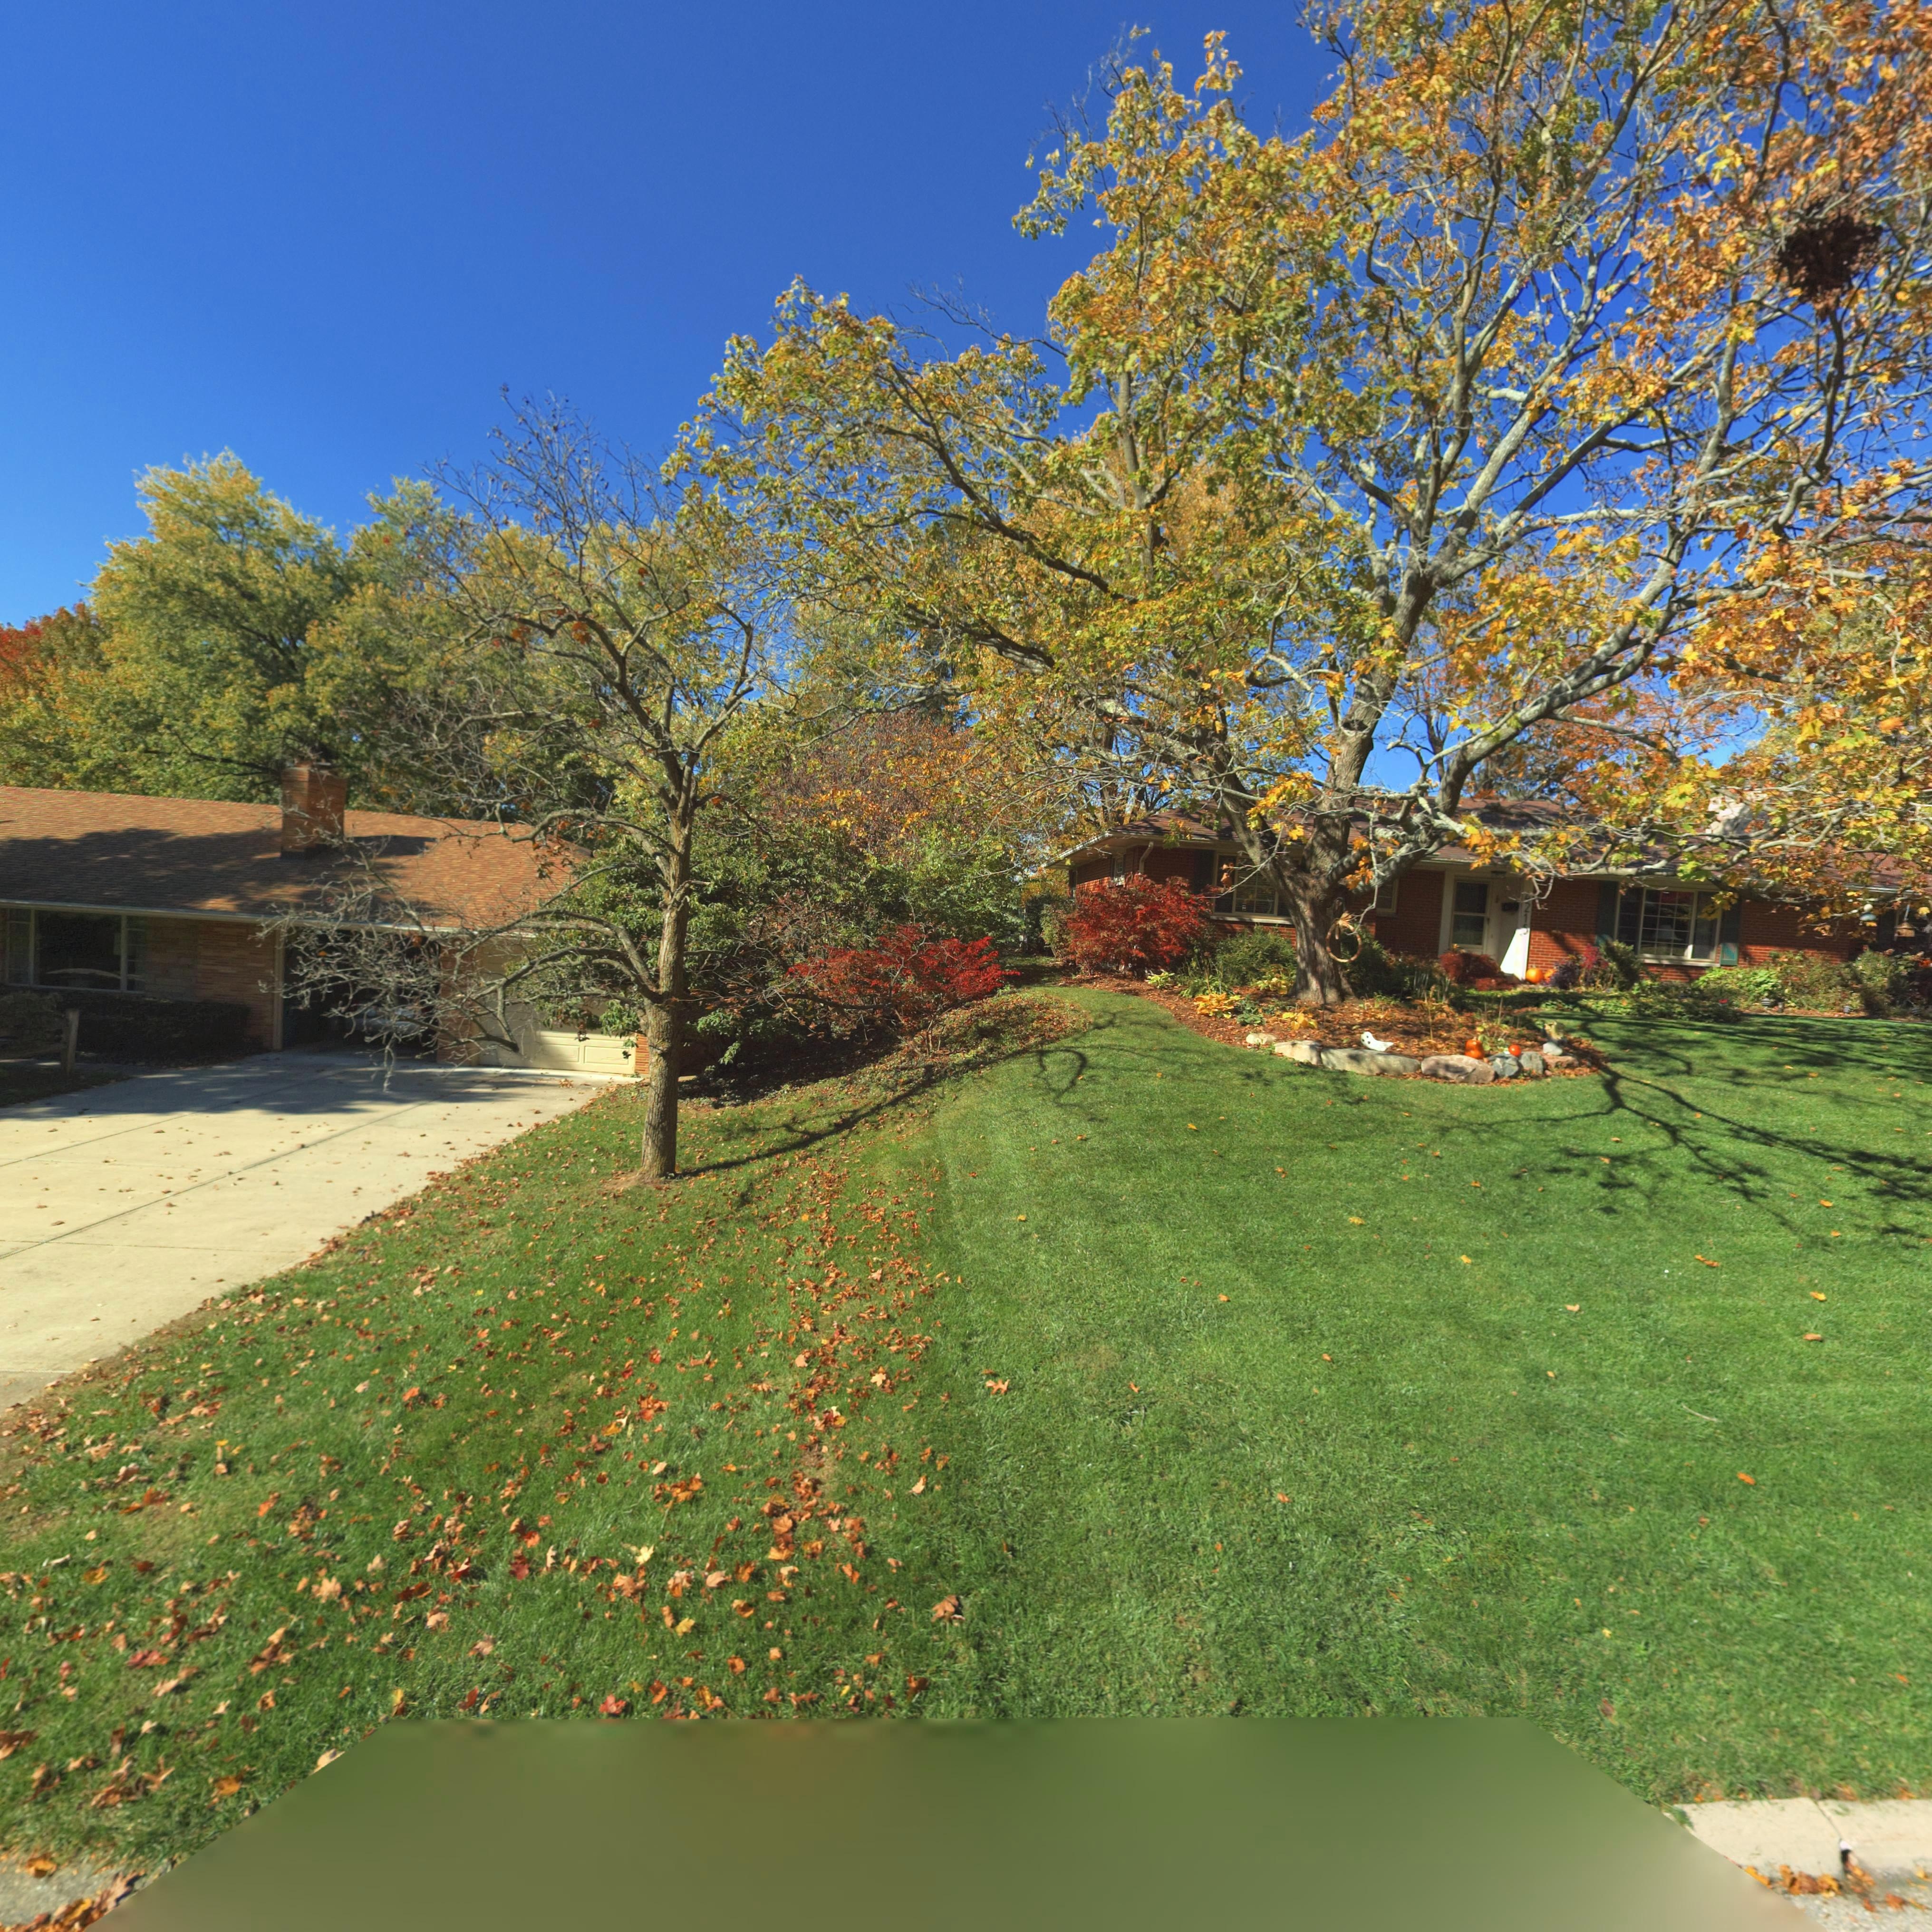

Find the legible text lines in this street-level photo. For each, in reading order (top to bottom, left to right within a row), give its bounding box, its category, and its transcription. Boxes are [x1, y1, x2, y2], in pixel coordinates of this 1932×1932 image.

[1521, 891, 1532, 936] StreetNumber: *215